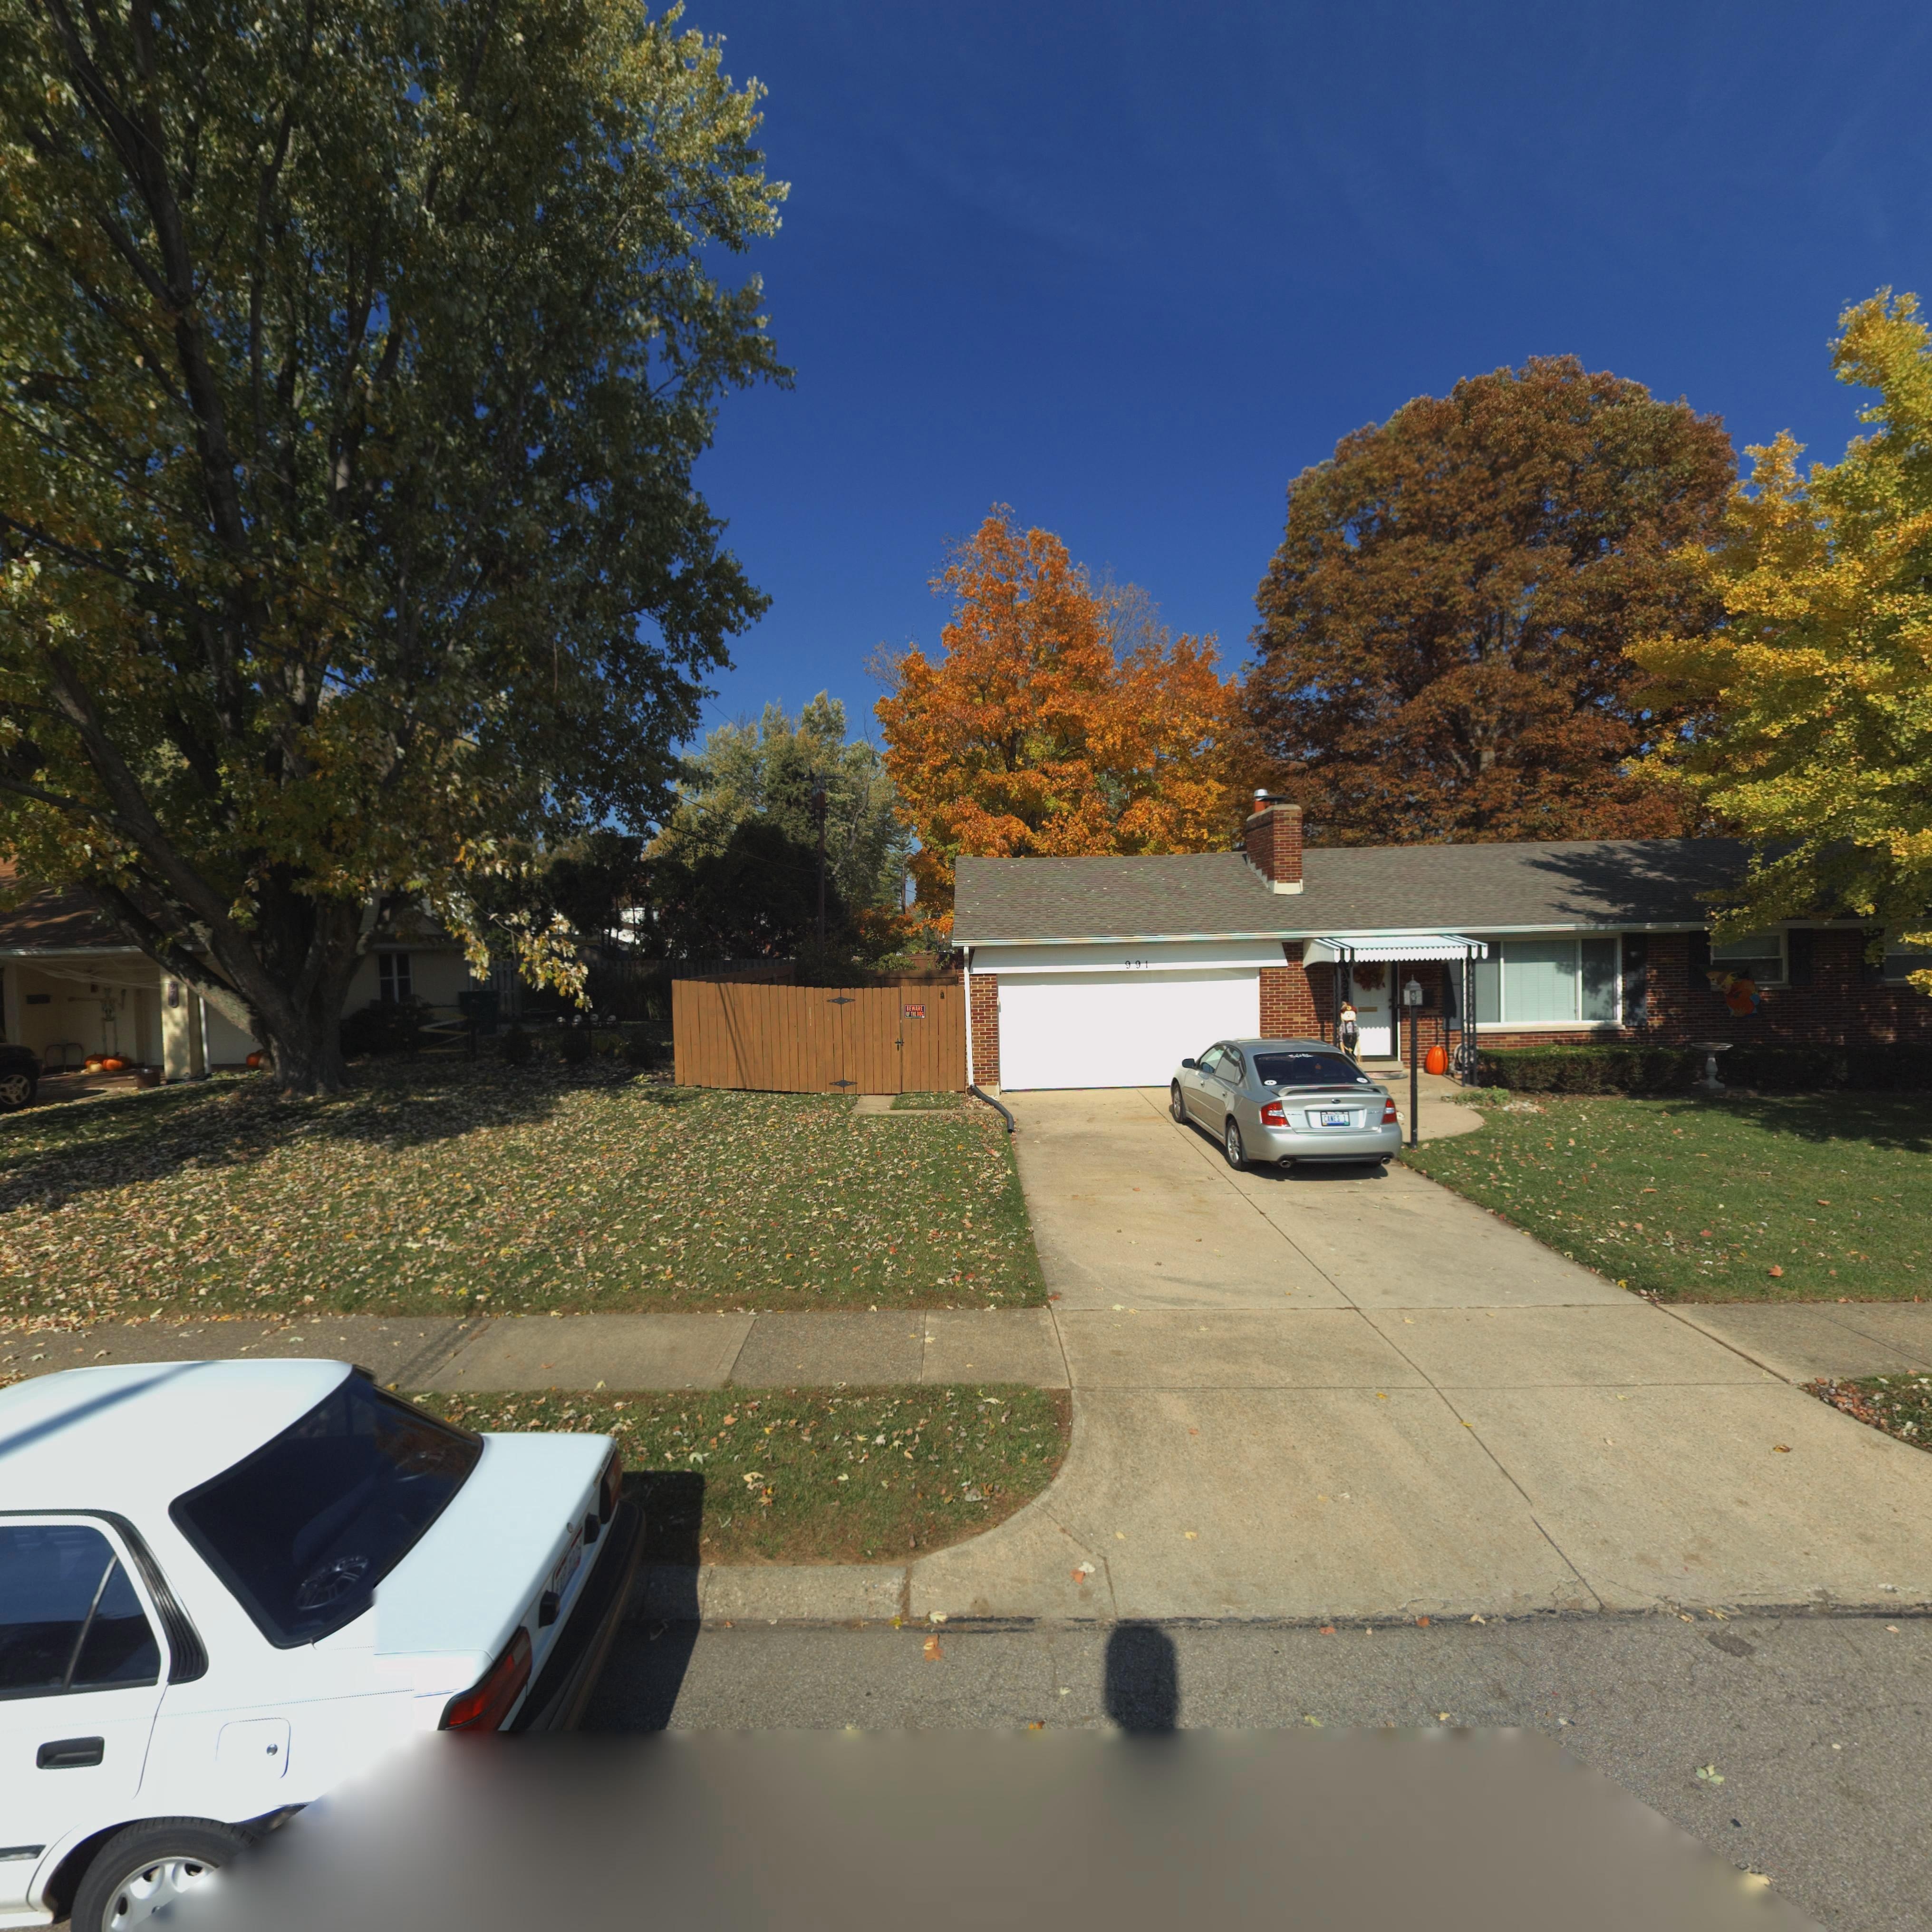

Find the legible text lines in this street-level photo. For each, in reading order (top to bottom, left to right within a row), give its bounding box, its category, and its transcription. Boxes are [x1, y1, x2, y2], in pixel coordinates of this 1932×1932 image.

[1124, 959, 1149, 970] StreetNumber: 991
[906, 1005, 923, 1012] None: BEWARE
[906, 1011, 924, 1017] None: OF THE DOG
[1323, 1114, 1346, 1123] None: CANES 1